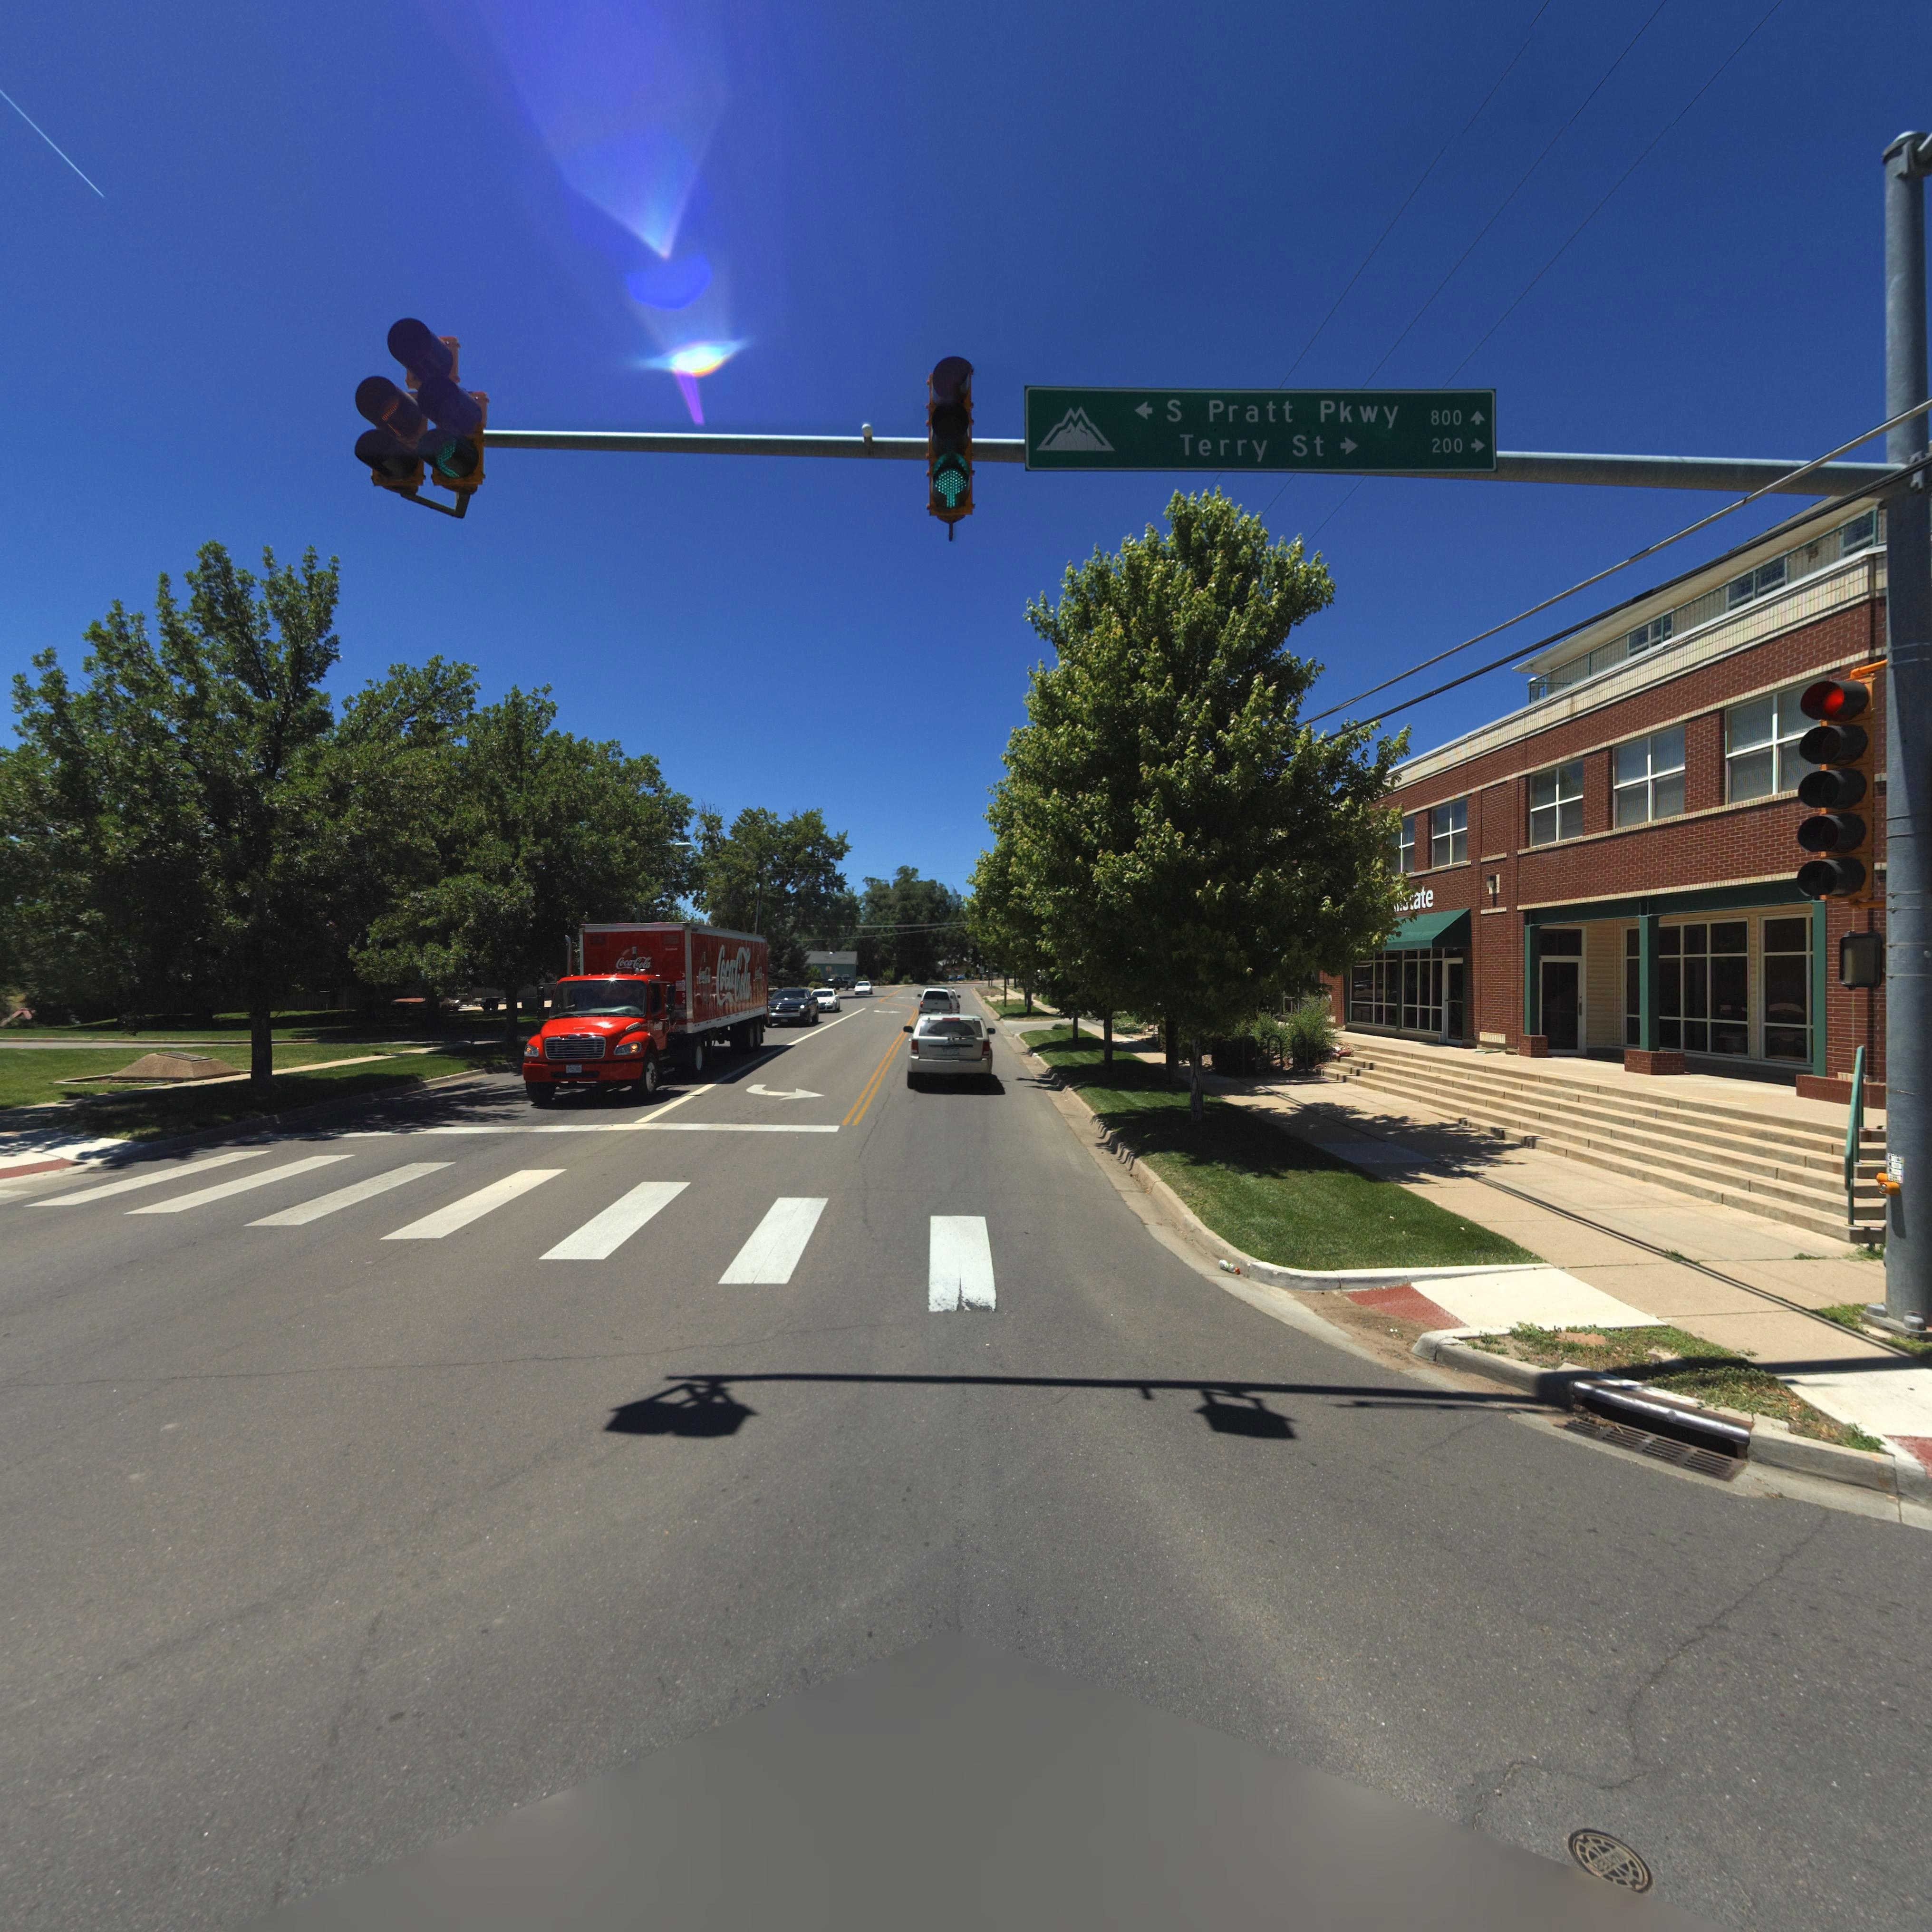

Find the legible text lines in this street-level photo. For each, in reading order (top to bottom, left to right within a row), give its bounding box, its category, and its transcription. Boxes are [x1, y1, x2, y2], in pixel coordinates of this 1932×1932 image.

[1165, 398, 1400, 429] StreetName: S Pratt Pkwy
[1430, 409, 1462, 426] StreetNumberRange: 800
[1179, 433, 1325, 463] StreetName: Terry St
[1431, 437, 1487, 453] StreetNumberRange: 200->
[1391, 886, 1434, 913] BusinessName: llstate